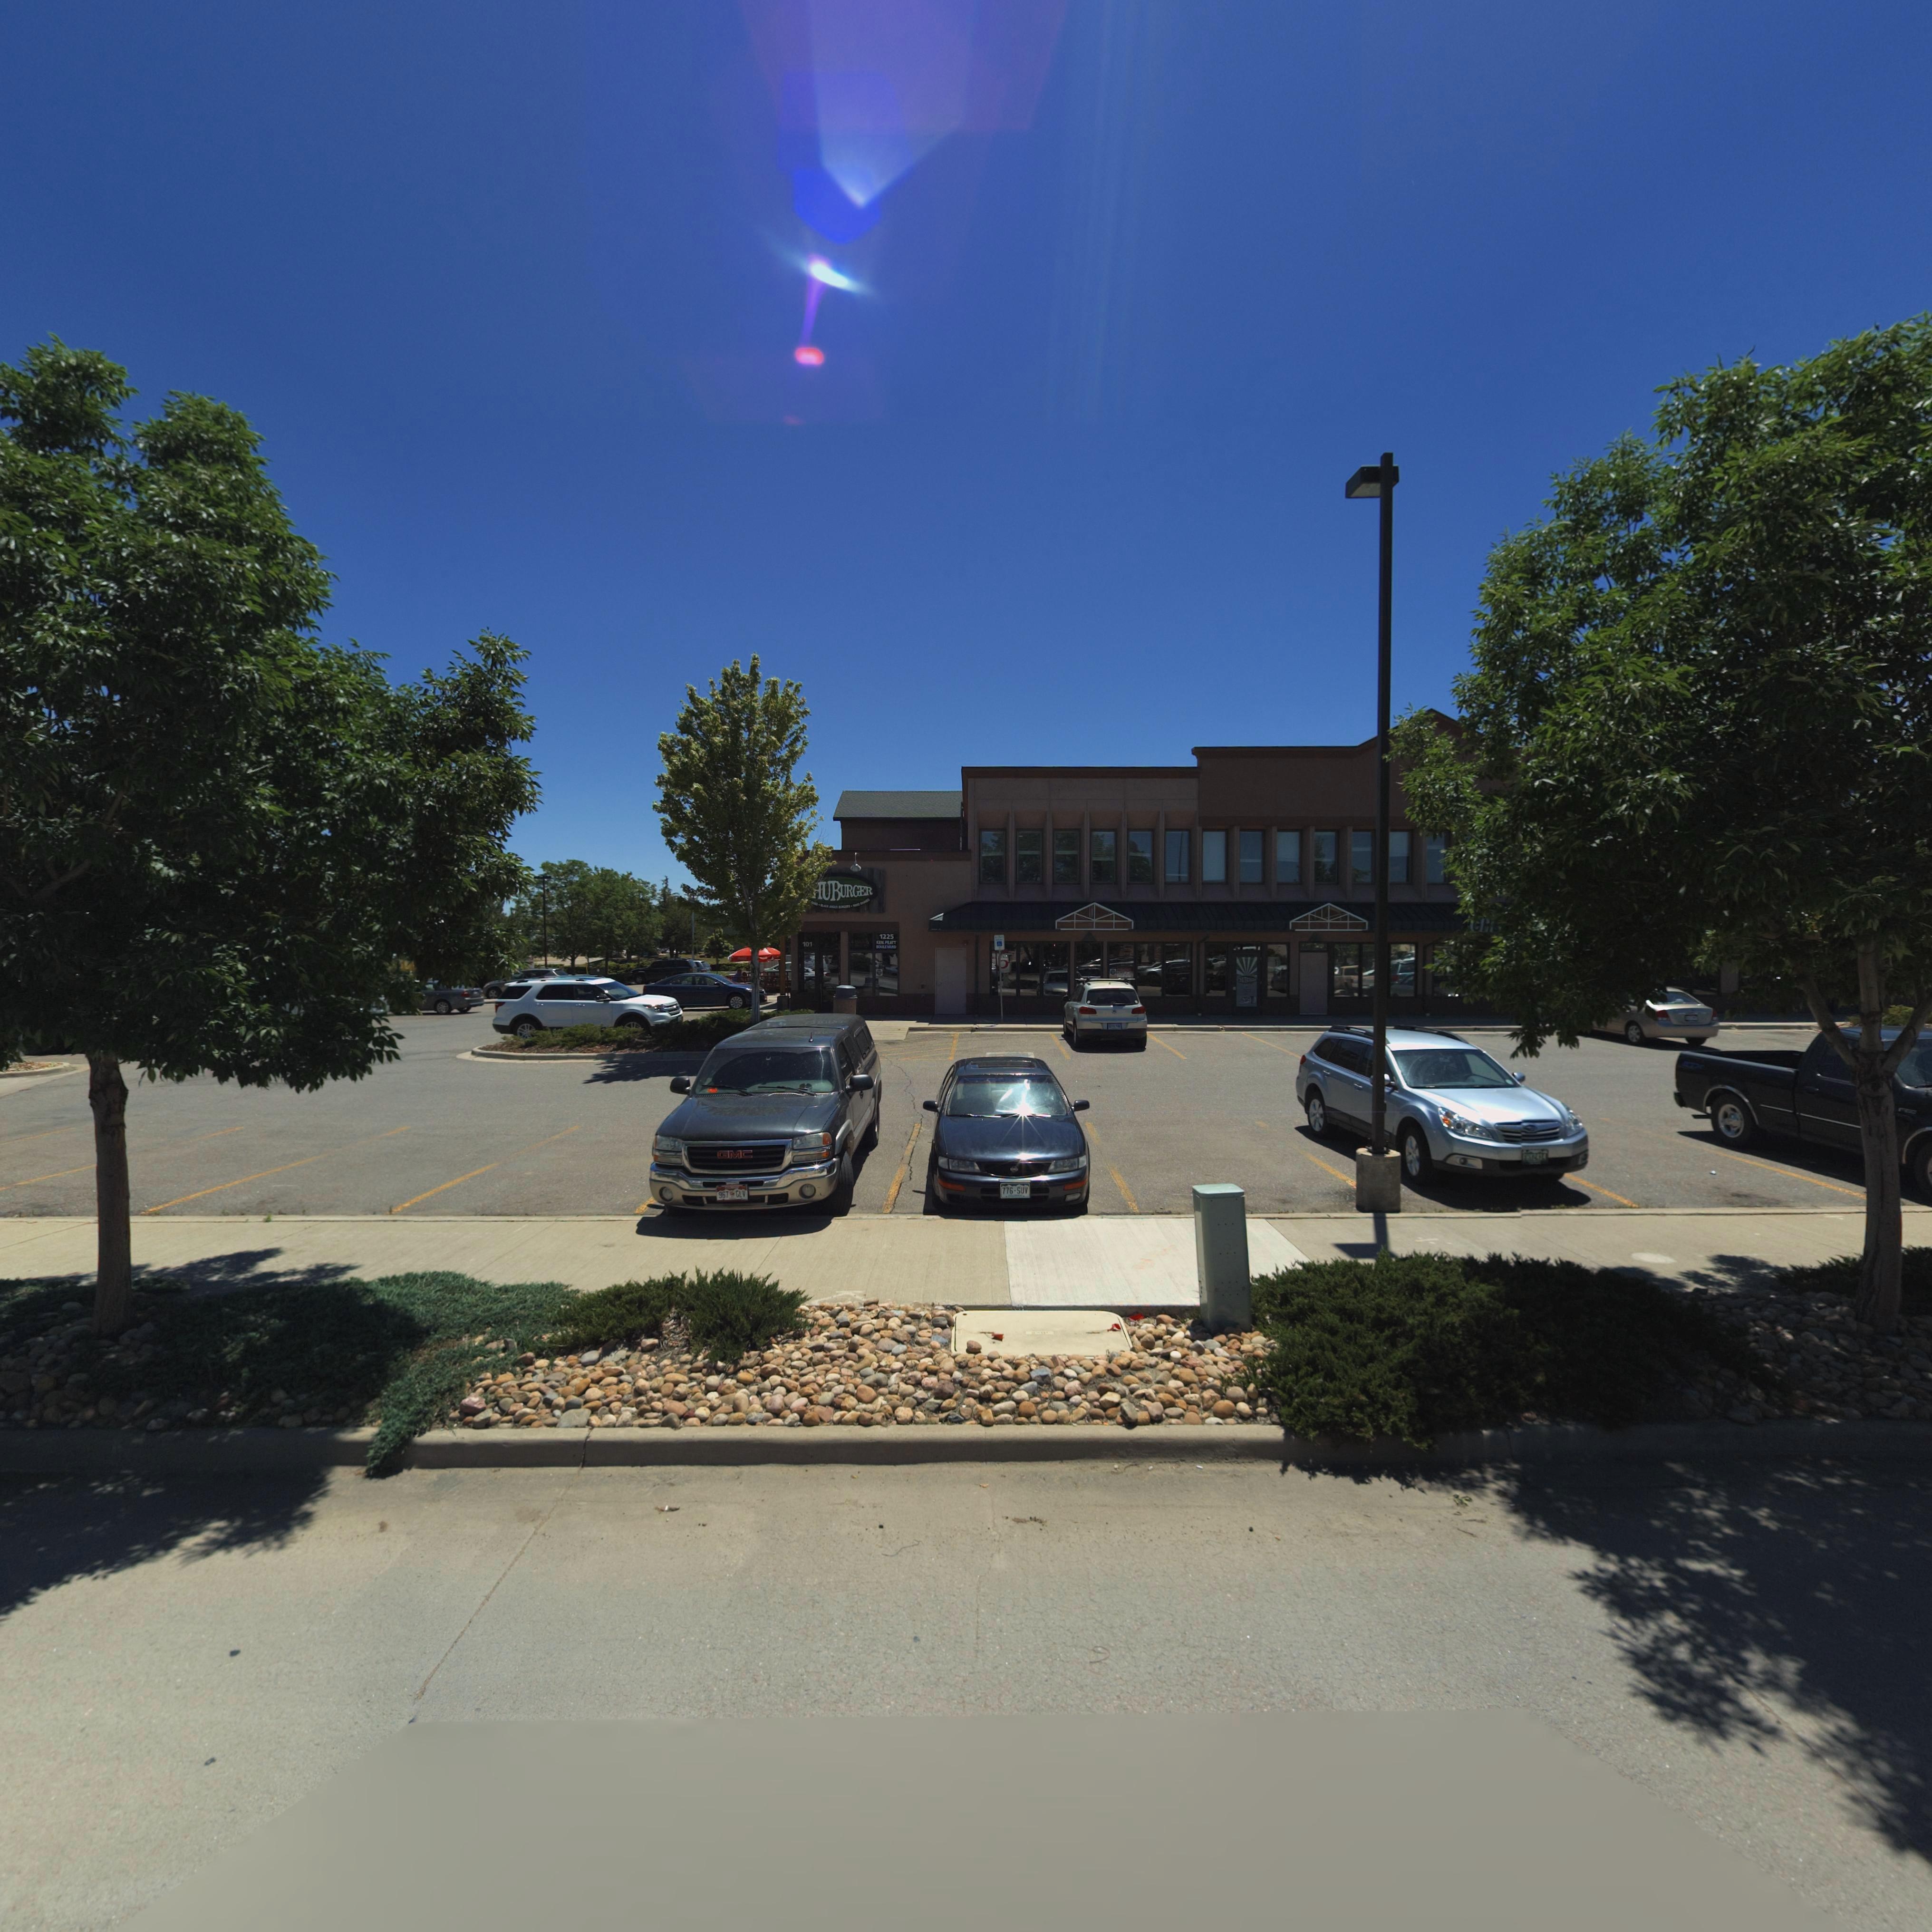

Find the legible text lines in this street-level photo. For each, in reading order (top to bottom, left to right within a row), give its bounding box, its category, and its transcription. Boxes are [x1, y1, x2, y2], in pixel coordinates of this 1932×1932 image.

[810, 879, 873, 901] BusinessName: *UBURGER
[1471, 917, 1493, 933] BusinessName: CH
[879, 934, 894, 939] StreetNumber: 1225
[802, 941, 812, 947] StreetNumber: 101
[876, 945, 896, 948] StreetName: BOULEVARD
[876, 940, 897, 944] StreetName: KEN PRATT